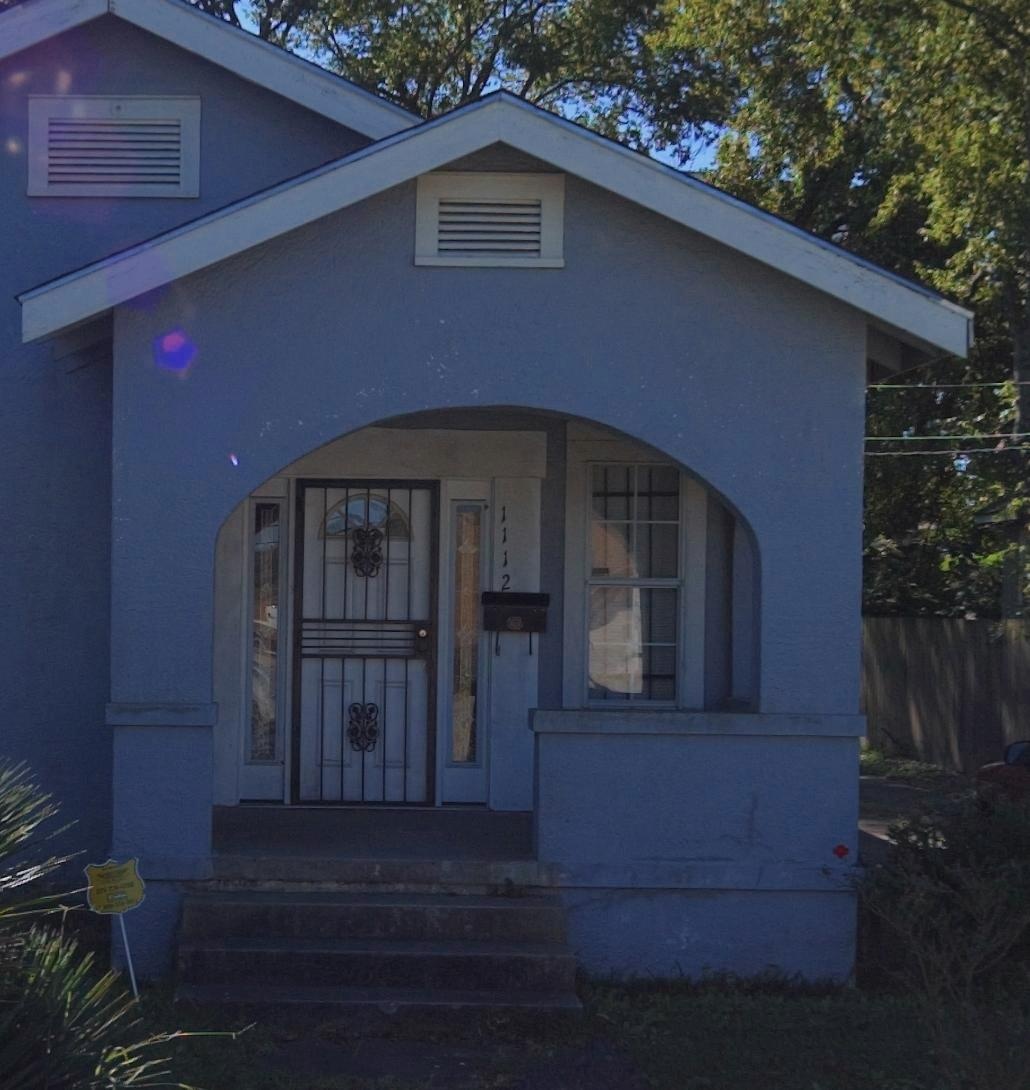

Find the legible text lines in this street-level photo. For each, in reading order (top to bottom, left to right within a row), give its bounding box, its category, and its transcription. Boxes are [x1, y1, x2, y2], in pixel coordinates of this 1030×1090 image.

[498, 501, 513, 594] StreetNumber: 1112